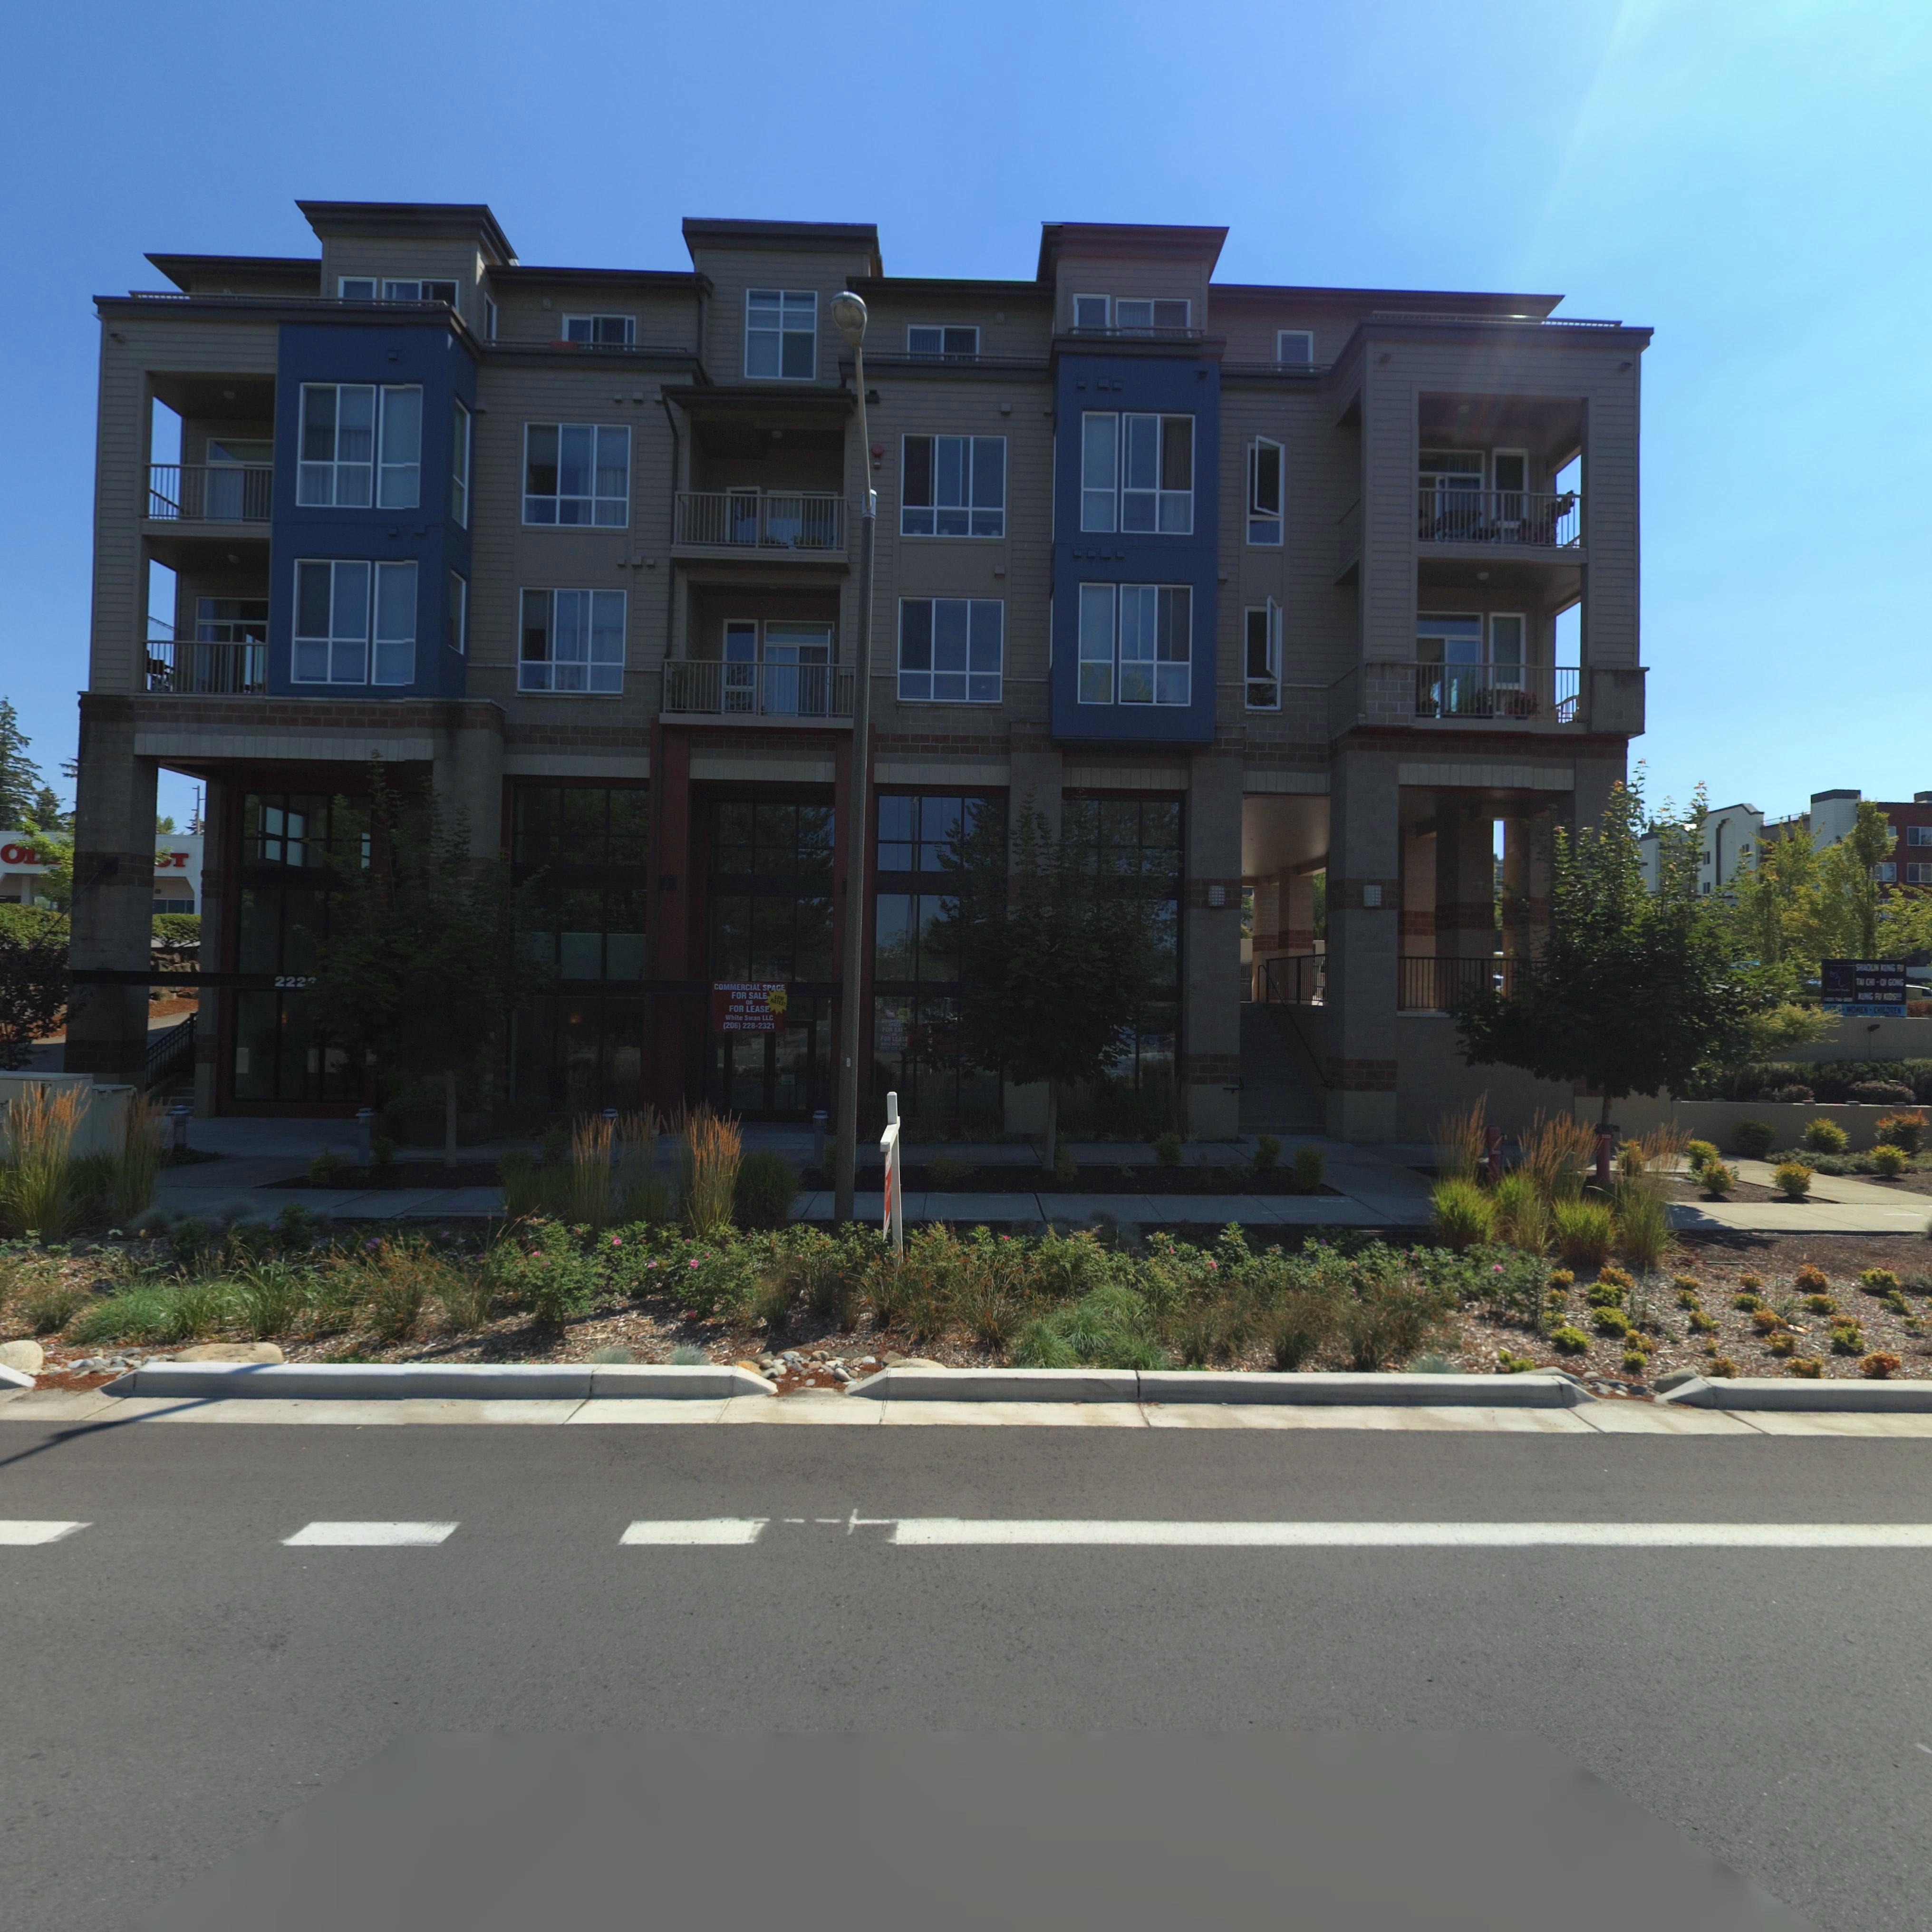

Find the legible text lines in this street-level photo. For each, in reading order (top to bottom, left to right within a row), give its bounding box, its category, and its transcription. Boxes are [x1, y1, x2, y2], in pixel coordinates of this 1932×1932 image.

[723, 1019, 753, 1031] StreetNumber: 2032
[724, 1022, 774, 1030] PhoneNumber: 206 228221